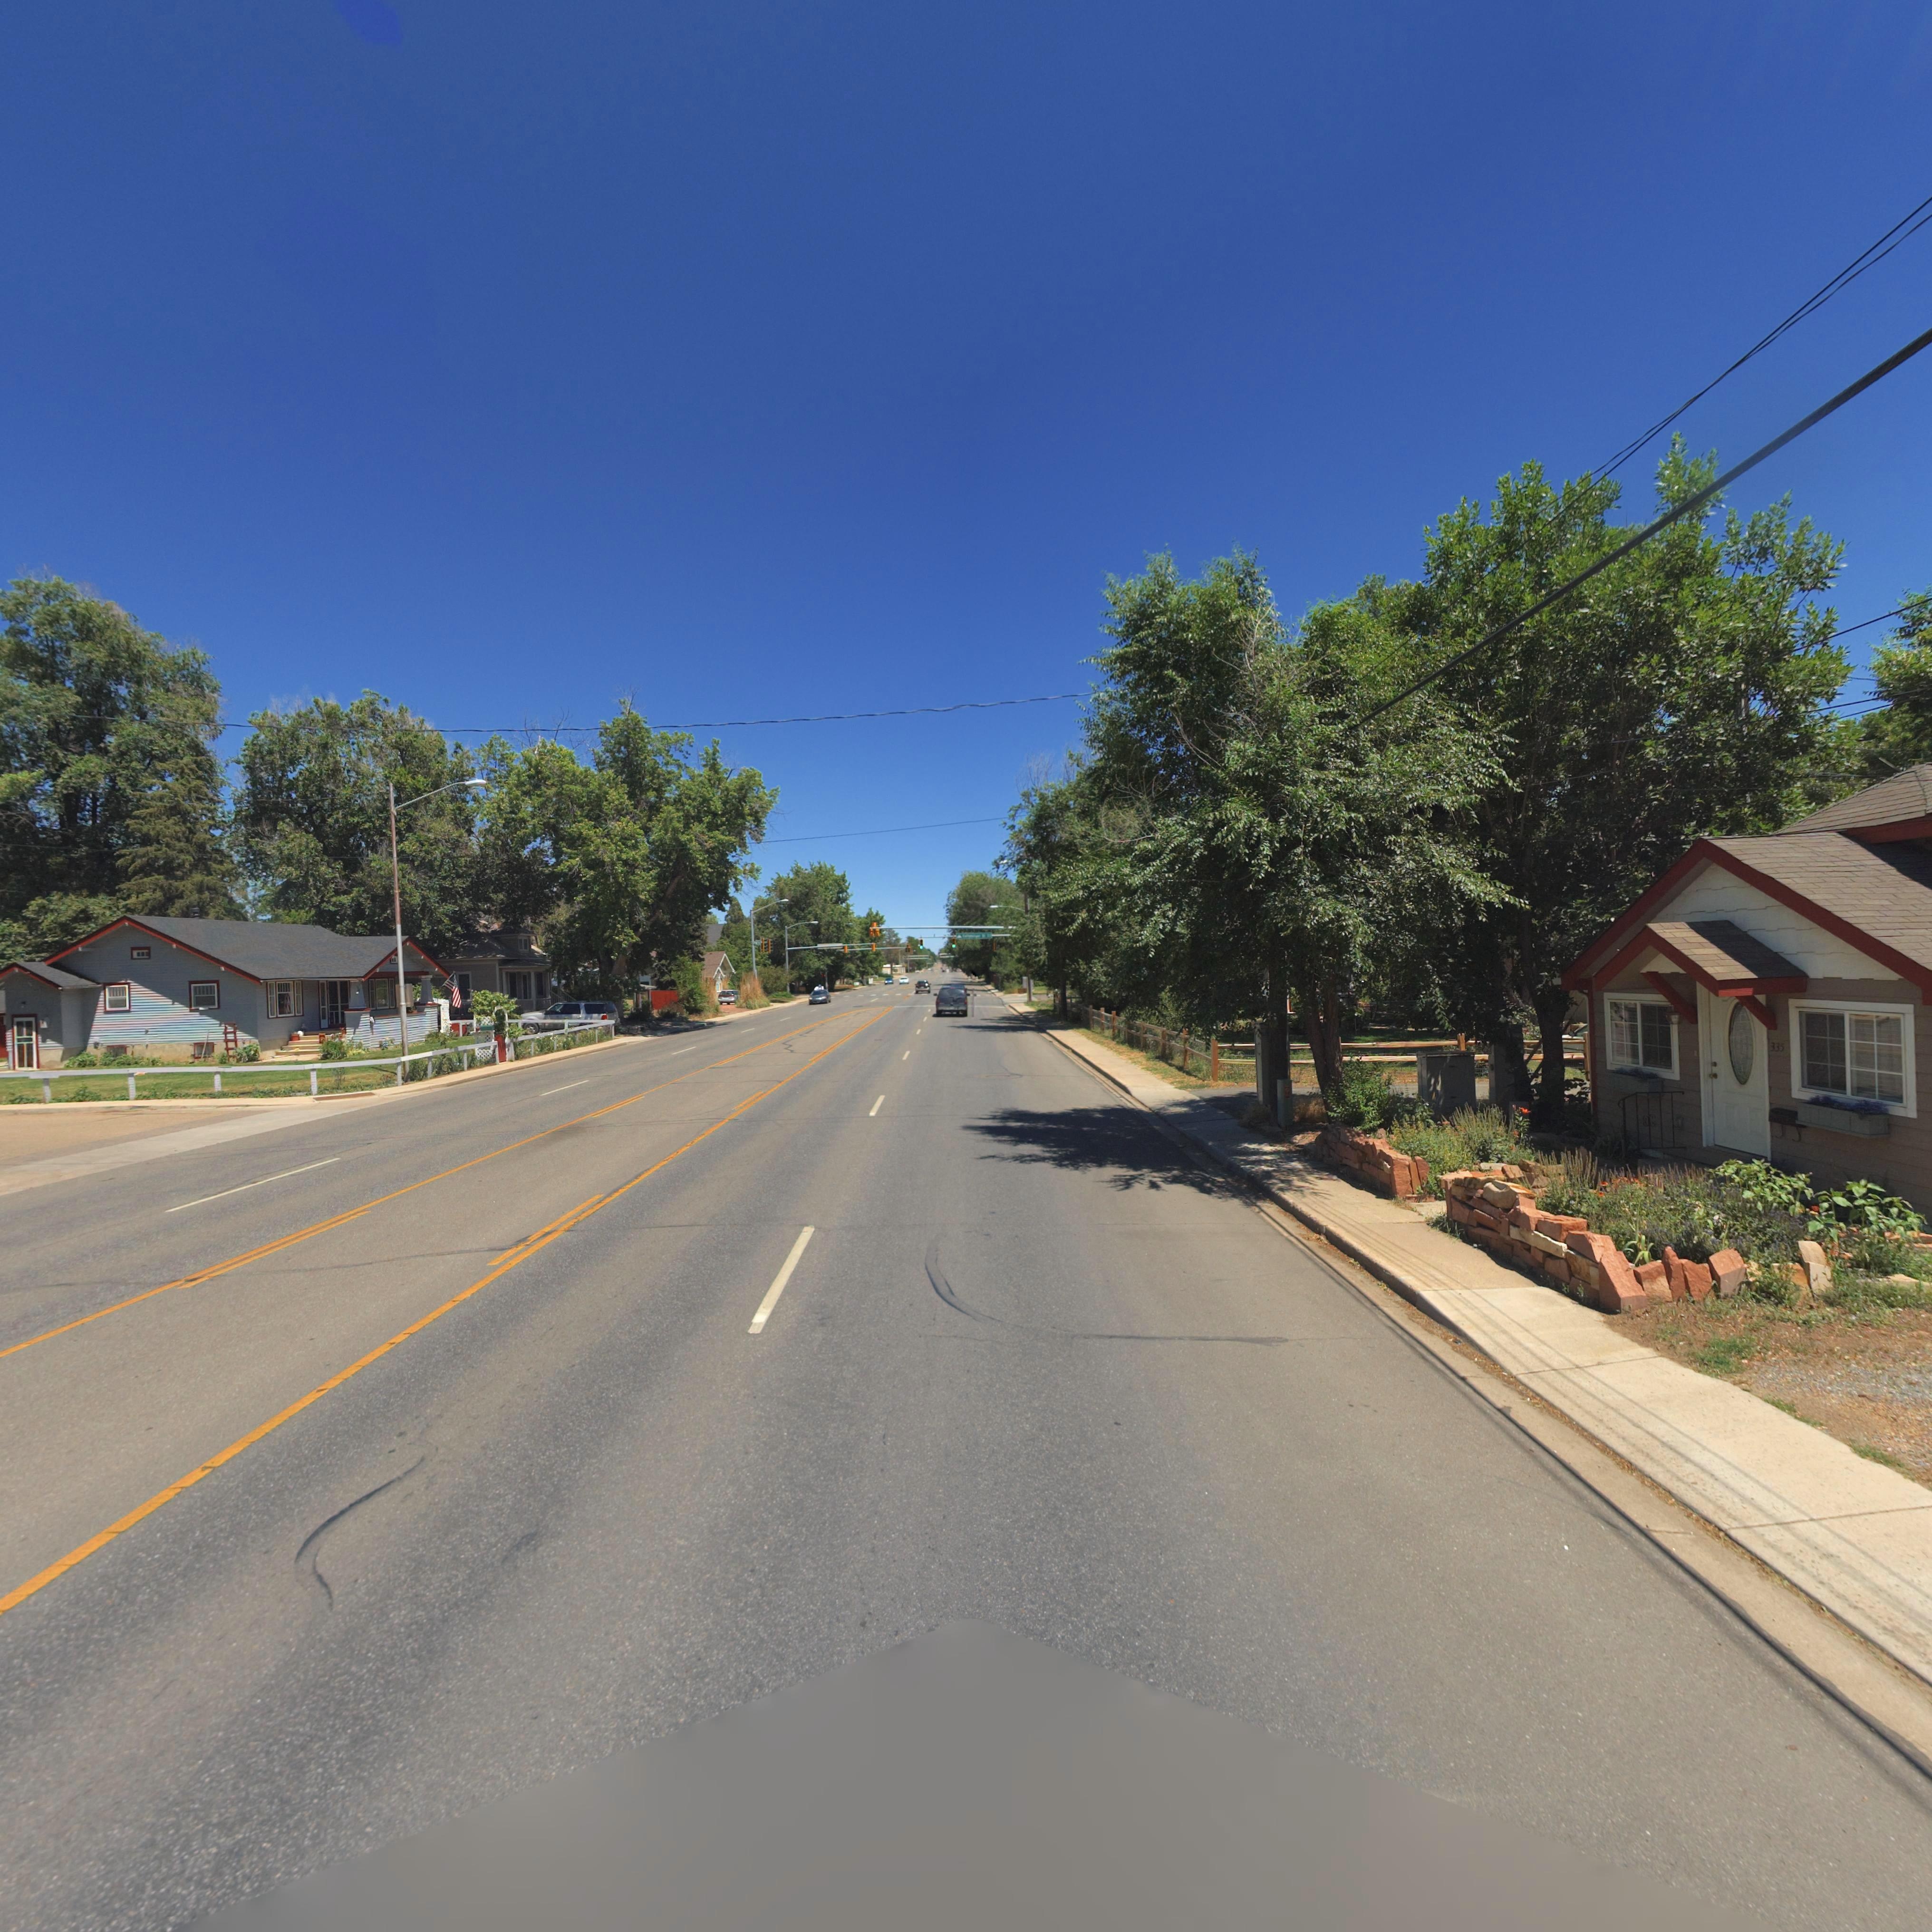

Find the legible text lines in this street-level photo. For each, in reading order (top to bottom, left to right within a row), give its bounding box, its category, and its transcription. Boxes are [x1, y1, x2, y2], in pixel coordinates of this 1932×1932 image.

[1769, 1041, 1785, 1053] StreetNumber: 335